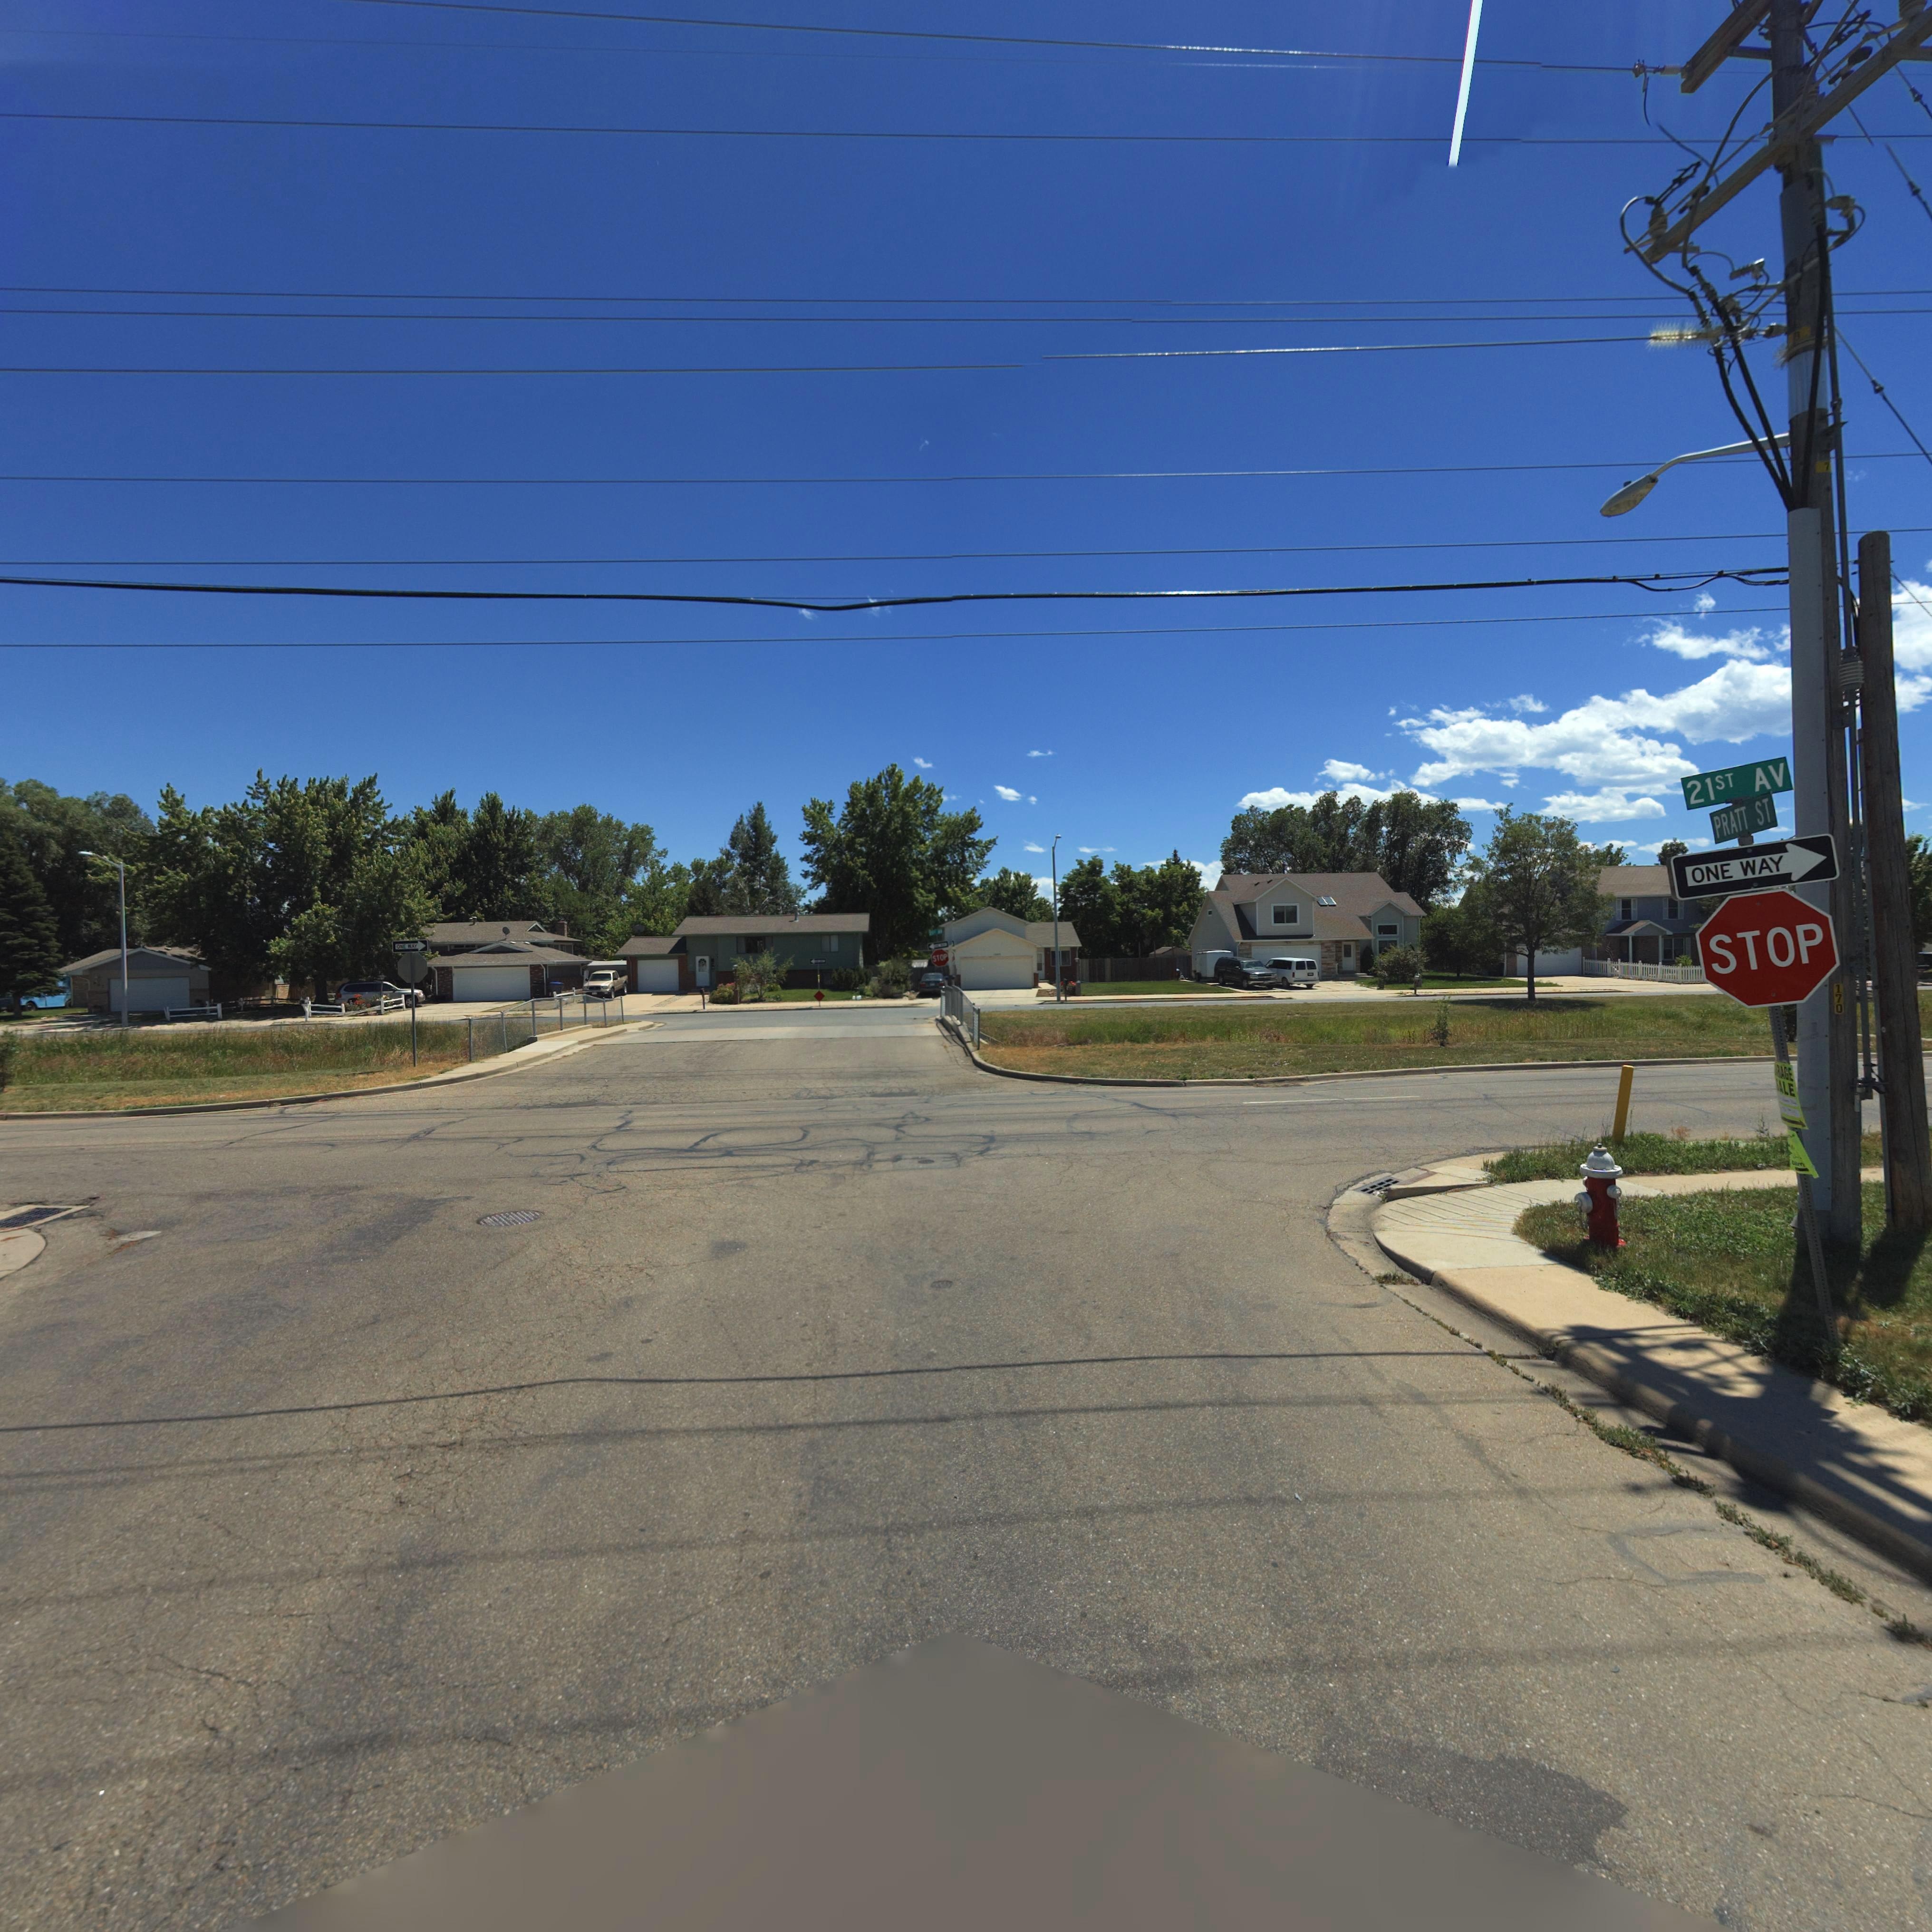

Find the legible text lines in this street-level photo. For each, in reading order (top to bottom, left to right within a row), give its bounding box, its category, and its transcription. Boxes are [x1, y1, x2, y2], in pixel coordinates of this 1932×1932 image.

[1685, 761, 1785, 805] StreetName: 21ST AV
[1712, 796, 1772, 840] StreetName: PRATT ST
[928, 928, 943, 936] StreetName: 2*** **